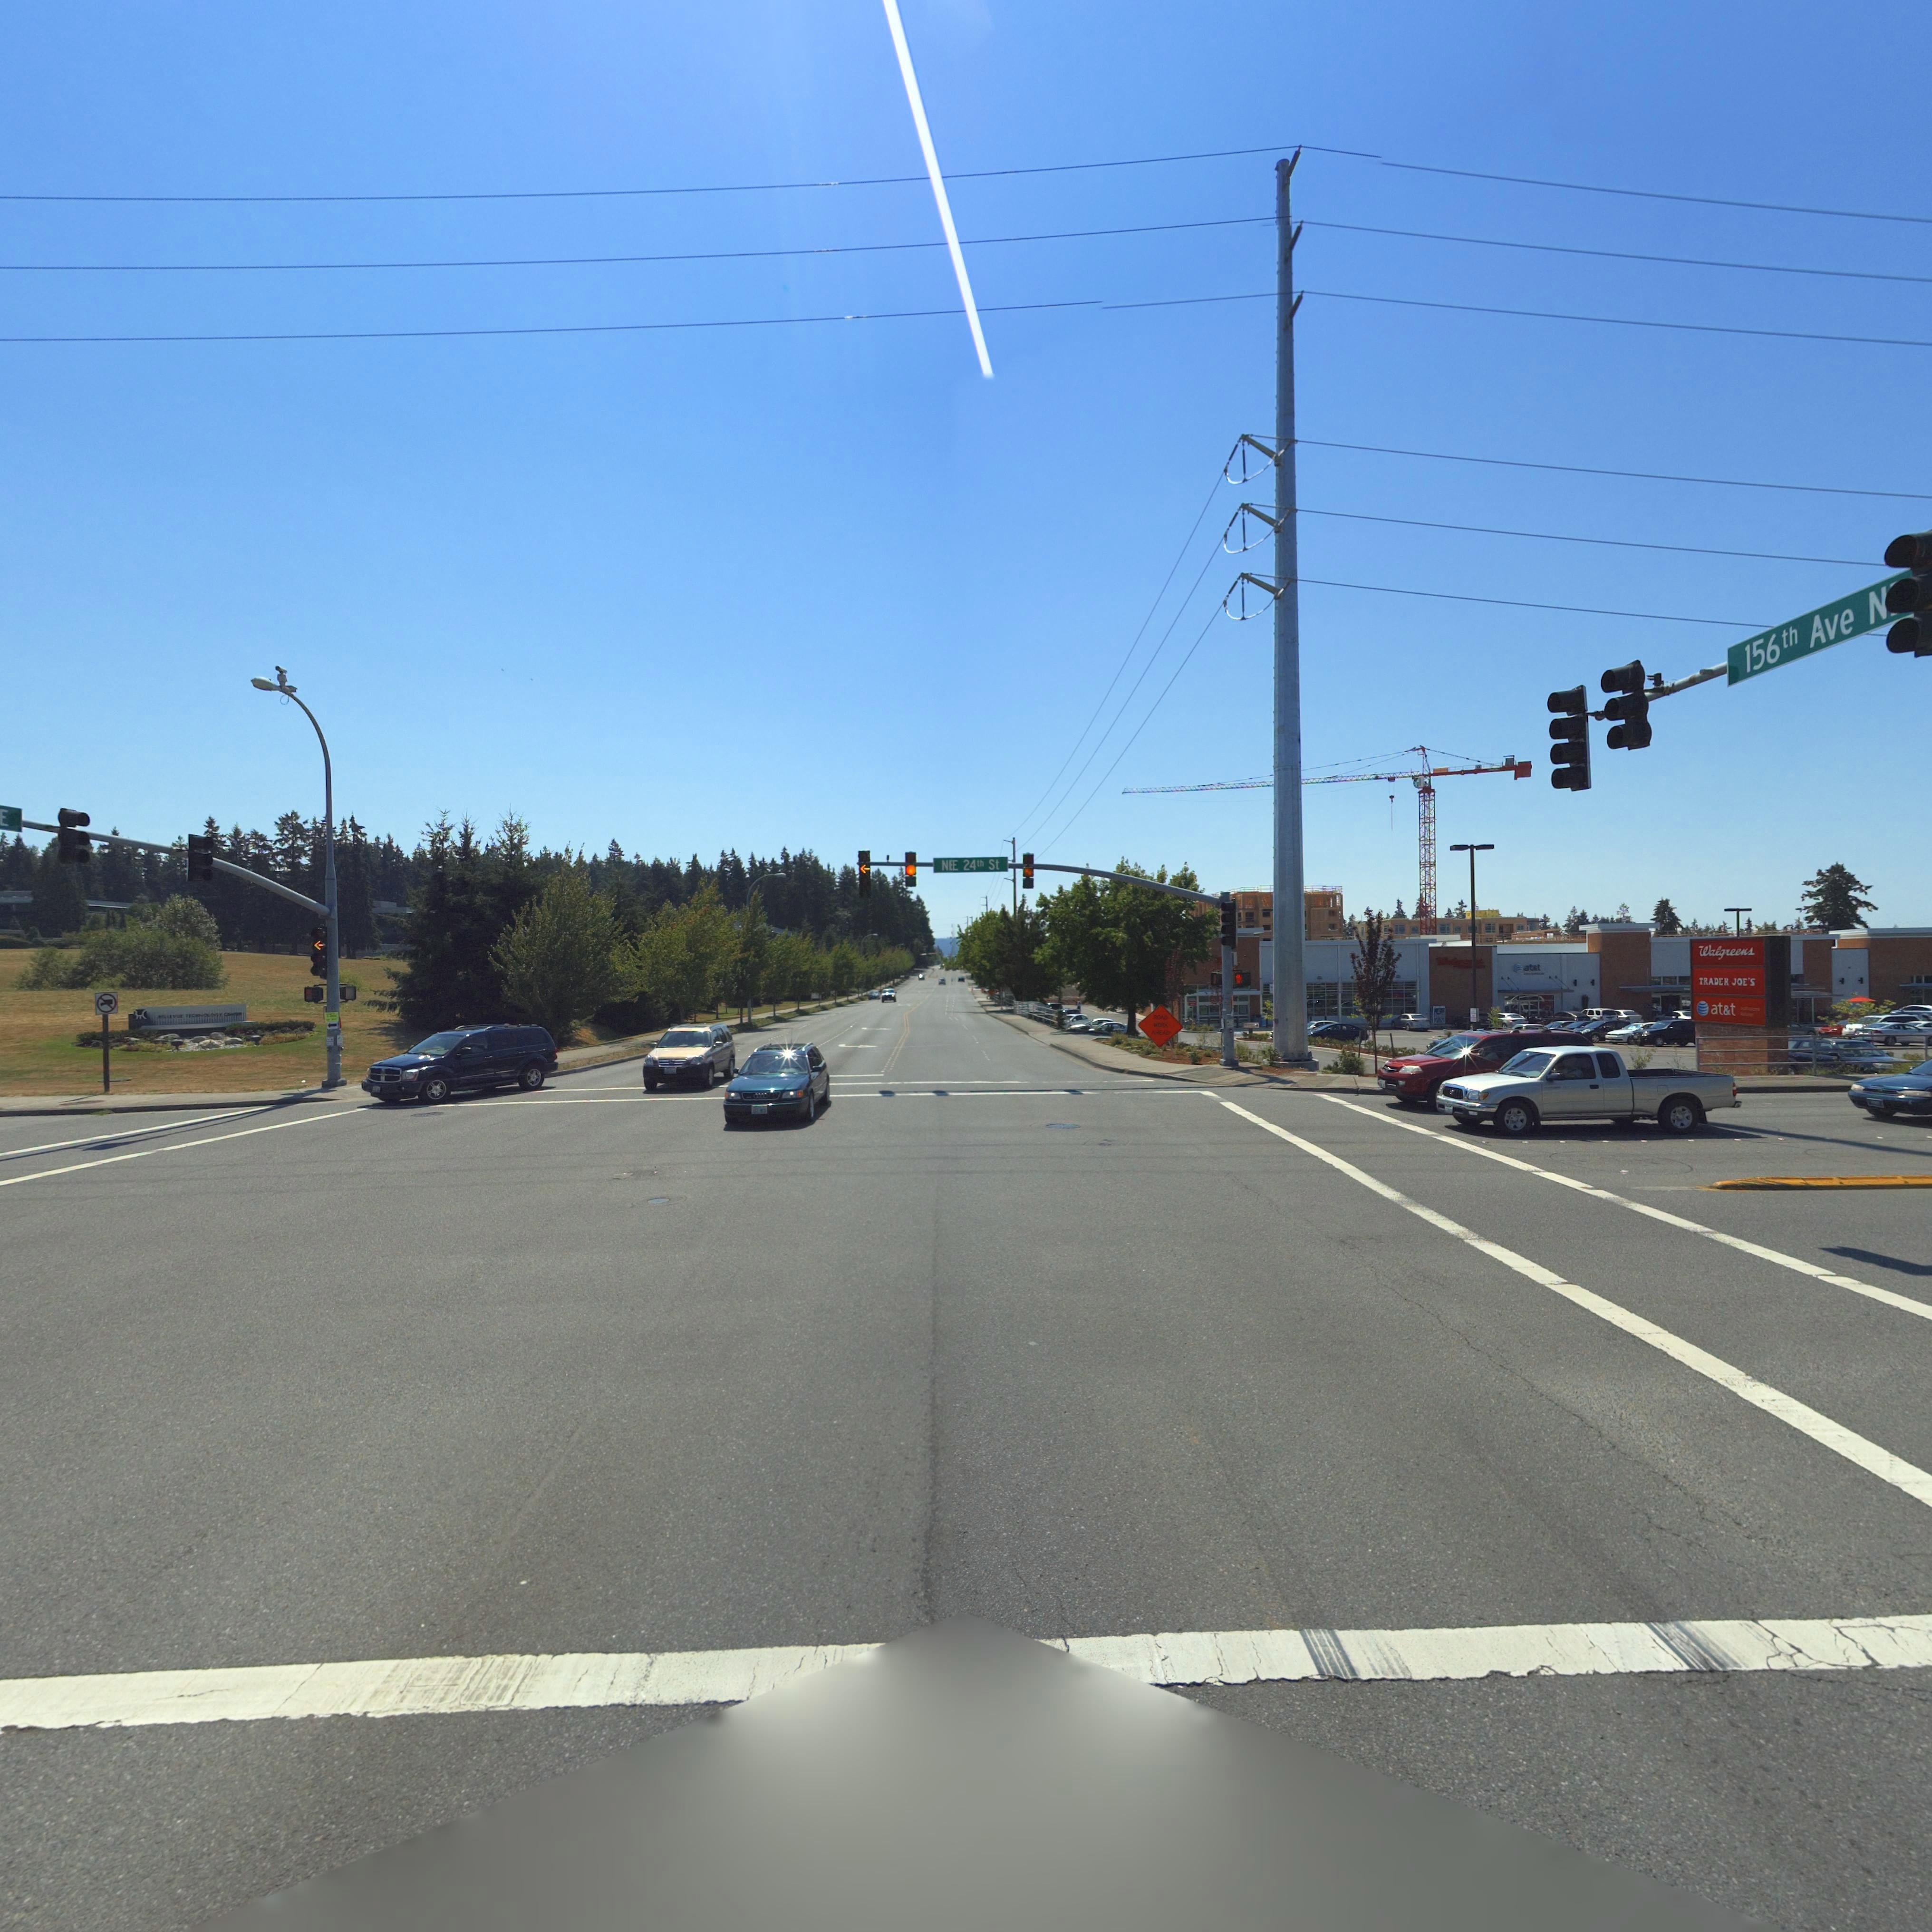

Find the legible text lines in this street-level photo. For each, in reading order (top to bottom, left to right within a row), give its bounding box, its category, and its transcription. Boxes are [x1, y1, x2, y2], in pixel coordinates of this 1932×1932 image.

[1744, 584, 1888, 675] StreetName: 156th Ave N
[941, 859, 1000, 871] StreetName: N*E 24th St
[1698, 945, 1755, 960] BusinessName: Walgreens
[1525, 964, 1541, 971] BusinessName: at*t
[1699, 977, 1756, 986] BusinessName: TRADER JOE'S
[1710, 1002, 1736, 1015] BusinessName: at*t